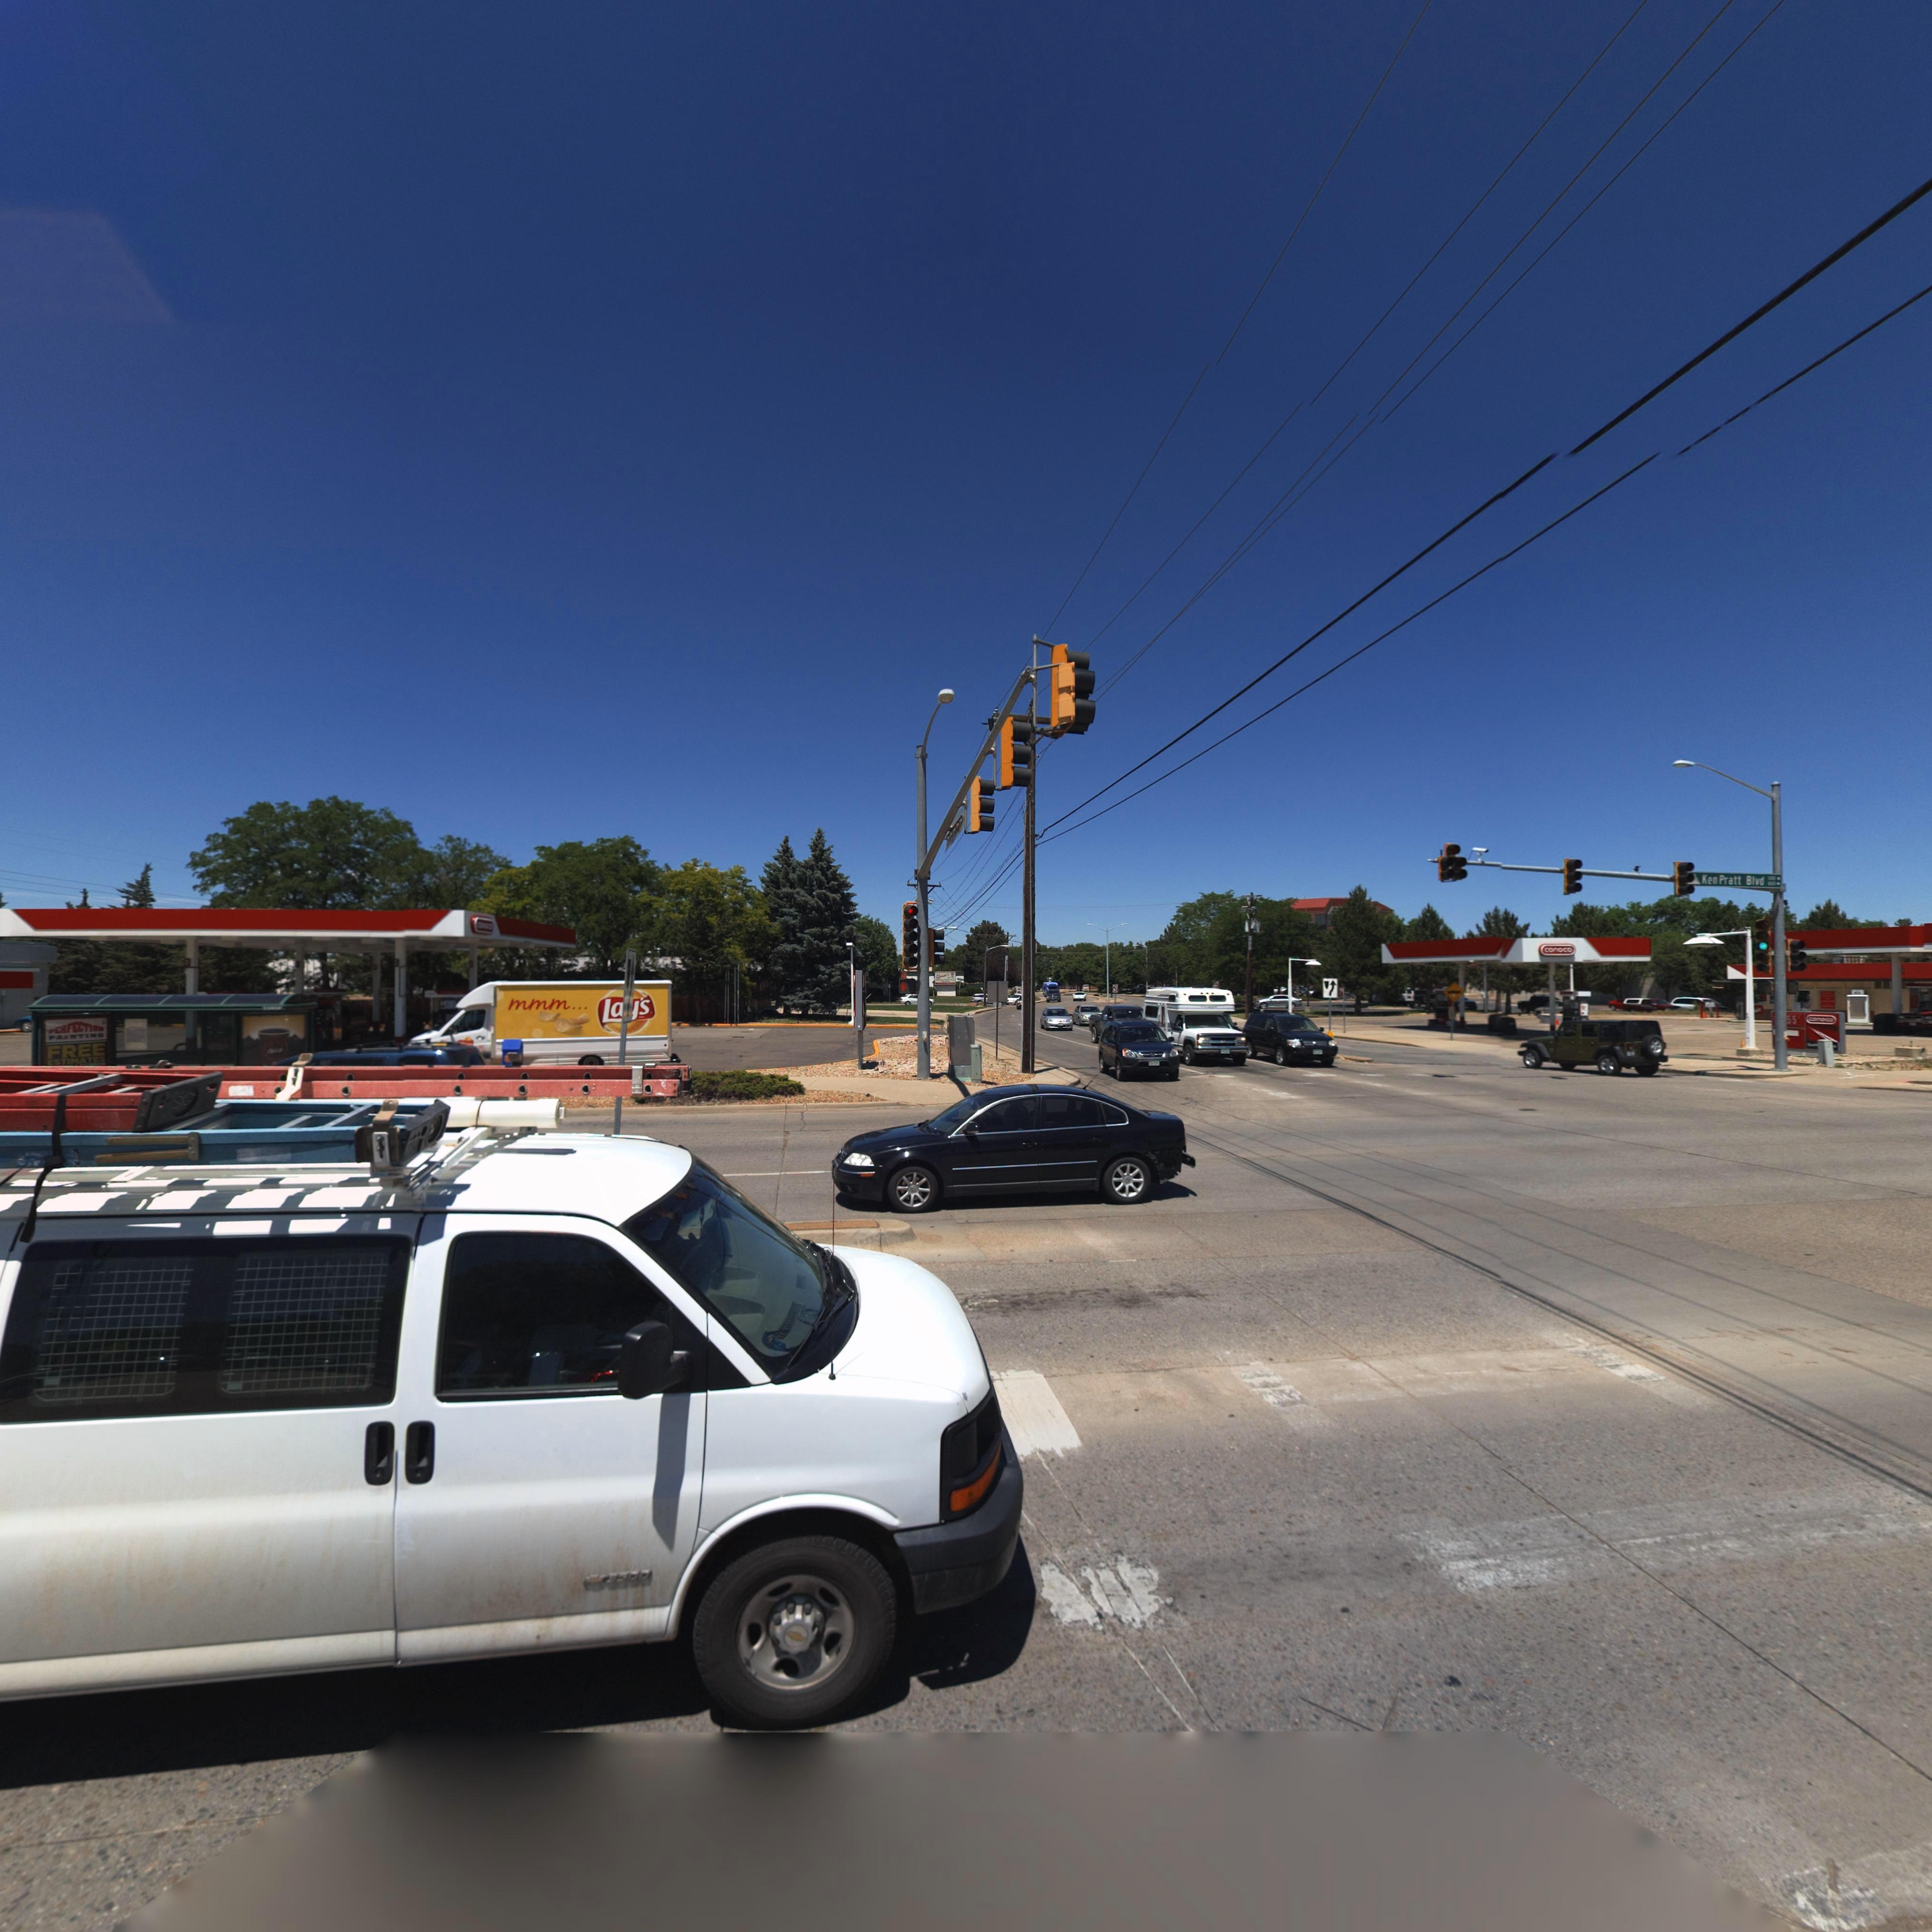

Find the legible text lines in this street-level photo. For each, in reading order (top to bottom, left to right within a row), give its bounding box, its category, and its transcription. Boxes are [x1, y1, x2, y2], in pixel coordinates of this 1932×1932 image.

[1701, 874, 1766, 886] BusinessName: Ken Pratt Blvd
[1768, 875, 1777, 880] StreetNumberRange: *00
[1767, 881, 1780, 886] StreetNumberRange: *00->
[1544, 947, 1573, 953] BusinessName: conoco
[936, 972, 950, 980] BusinessName: *****a's
[1808, 1016, 1834, 1022] BusinessName: conoco